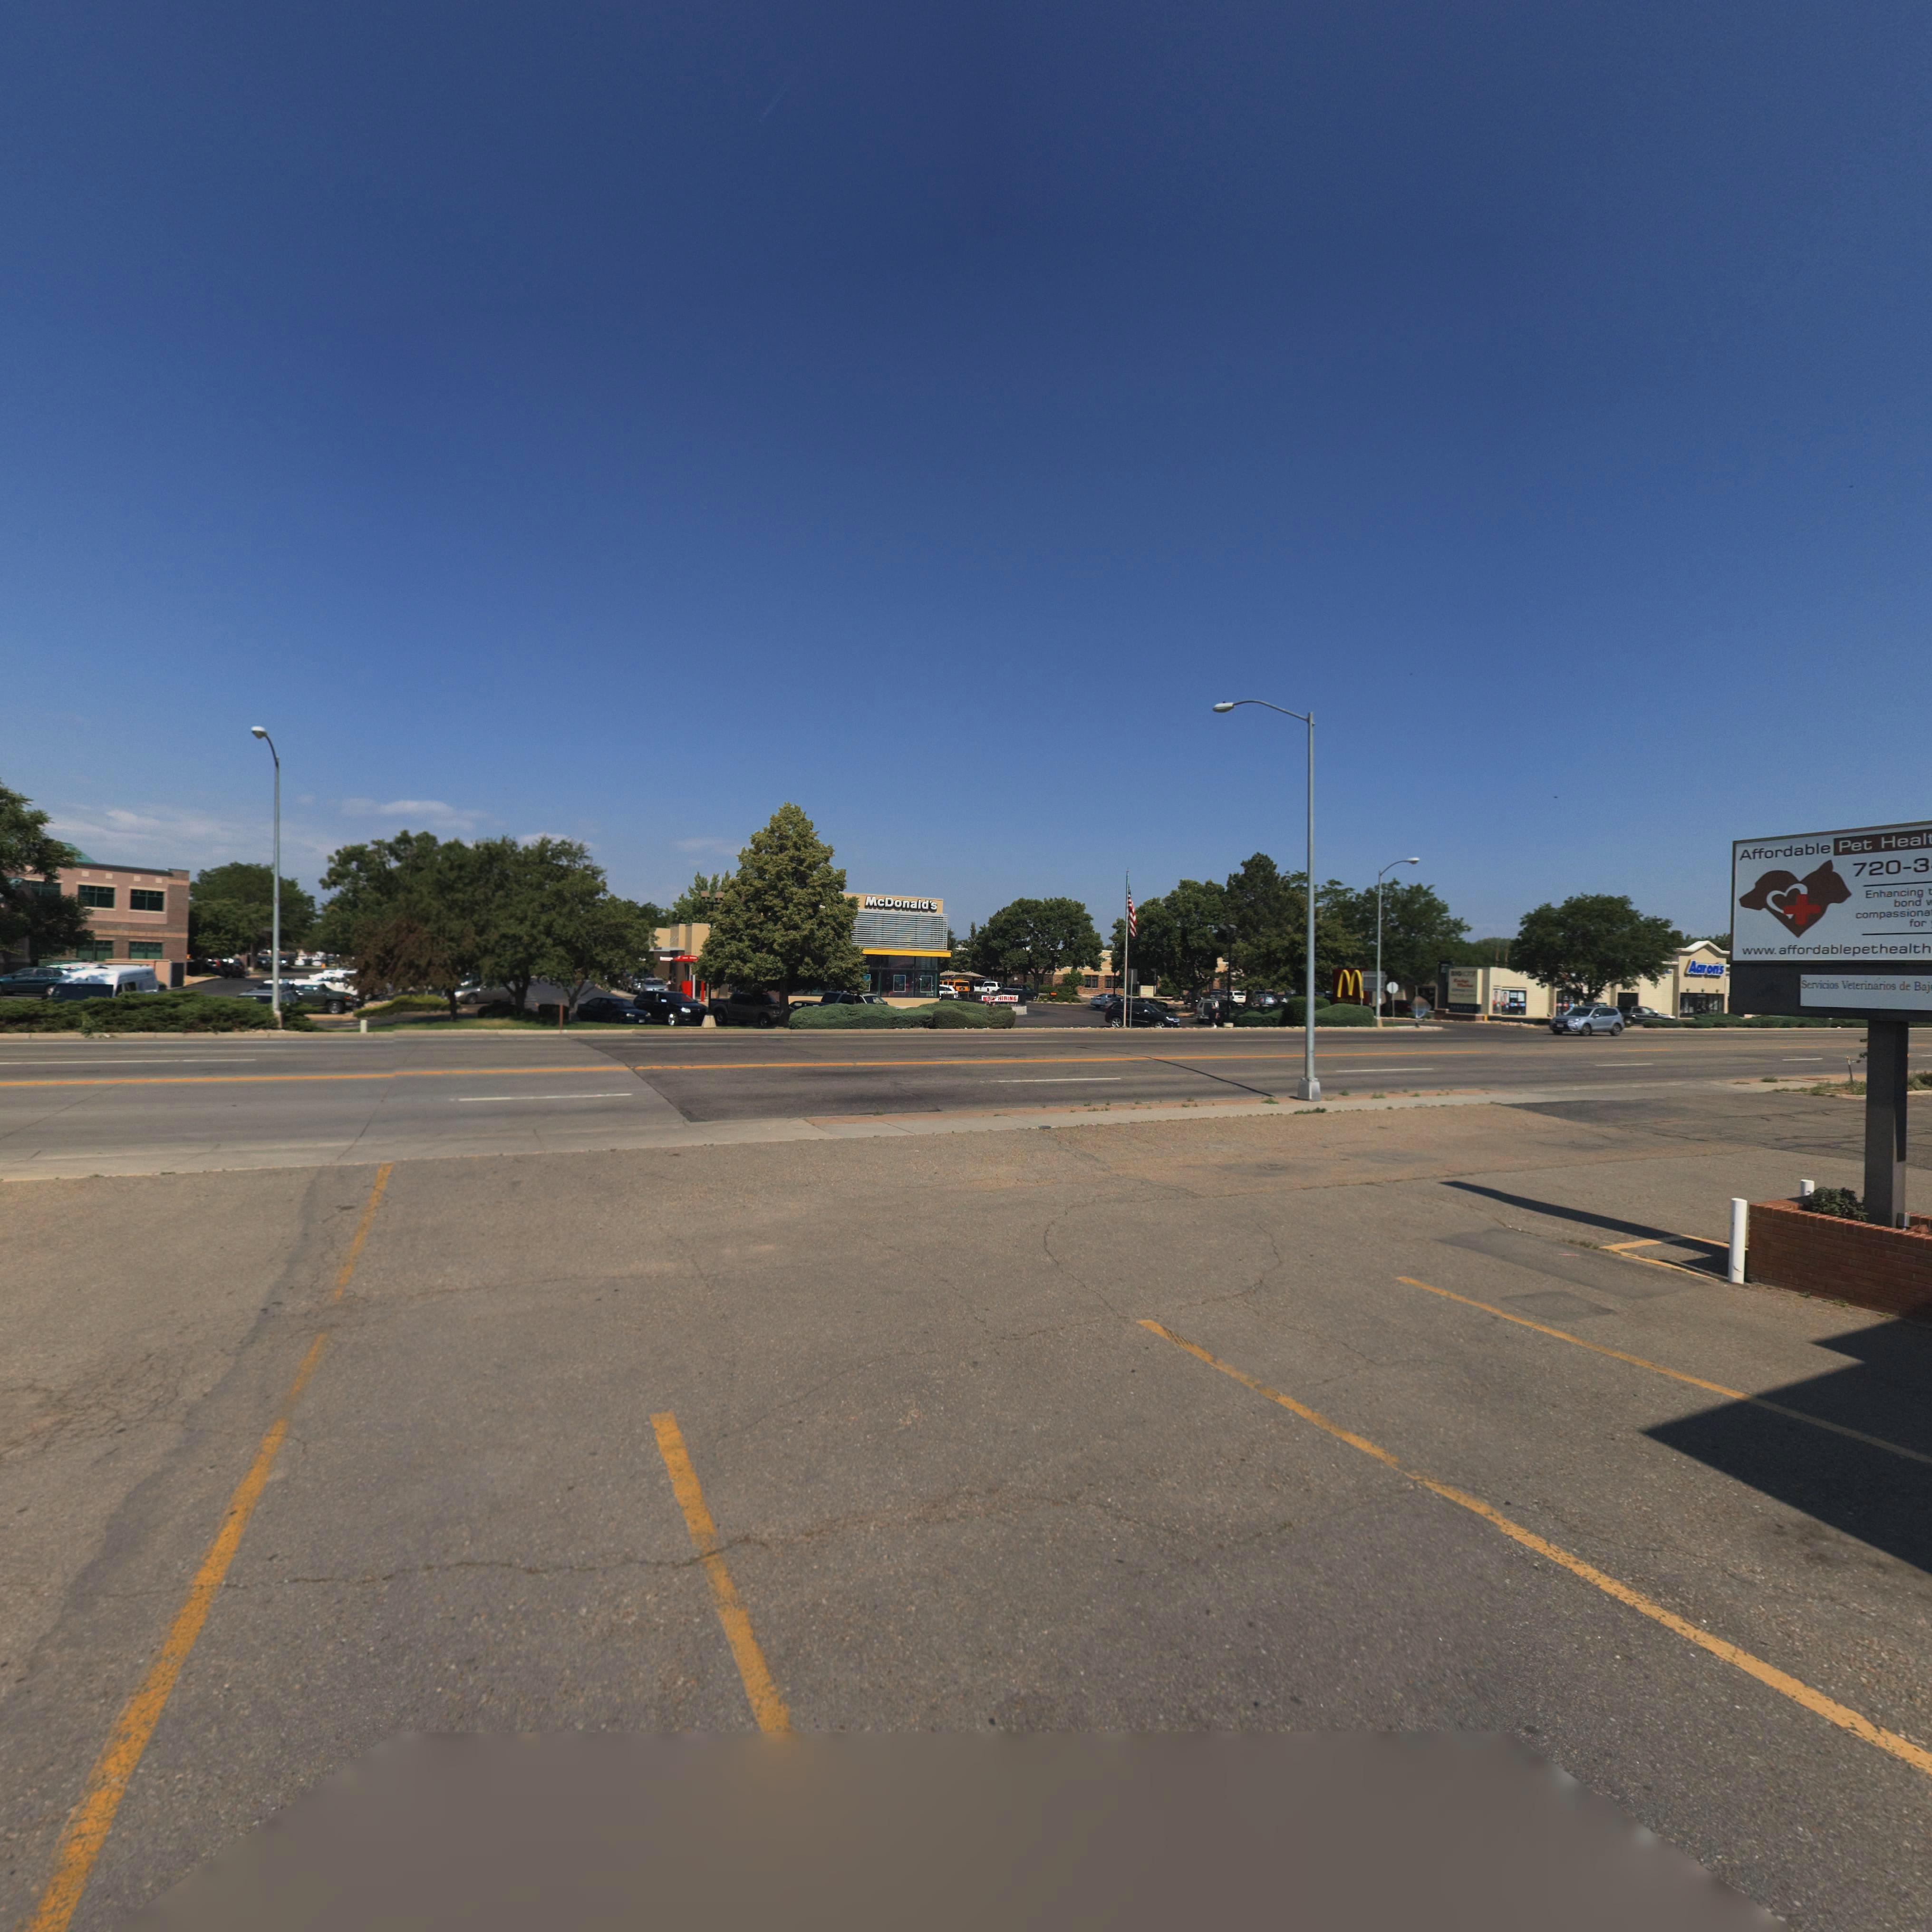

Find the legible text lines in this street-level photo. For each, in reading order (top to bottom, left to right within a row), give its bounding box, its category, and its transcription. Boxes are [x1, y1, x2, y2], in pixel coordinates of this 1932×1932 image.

[1739, 831, 1927, 860] BusinessName: Affordable Pet Heal
[864, 896, 938, 911] BusinessName: McDonald's
[1686, 959, 1725, 976] BusinessName: Aarons